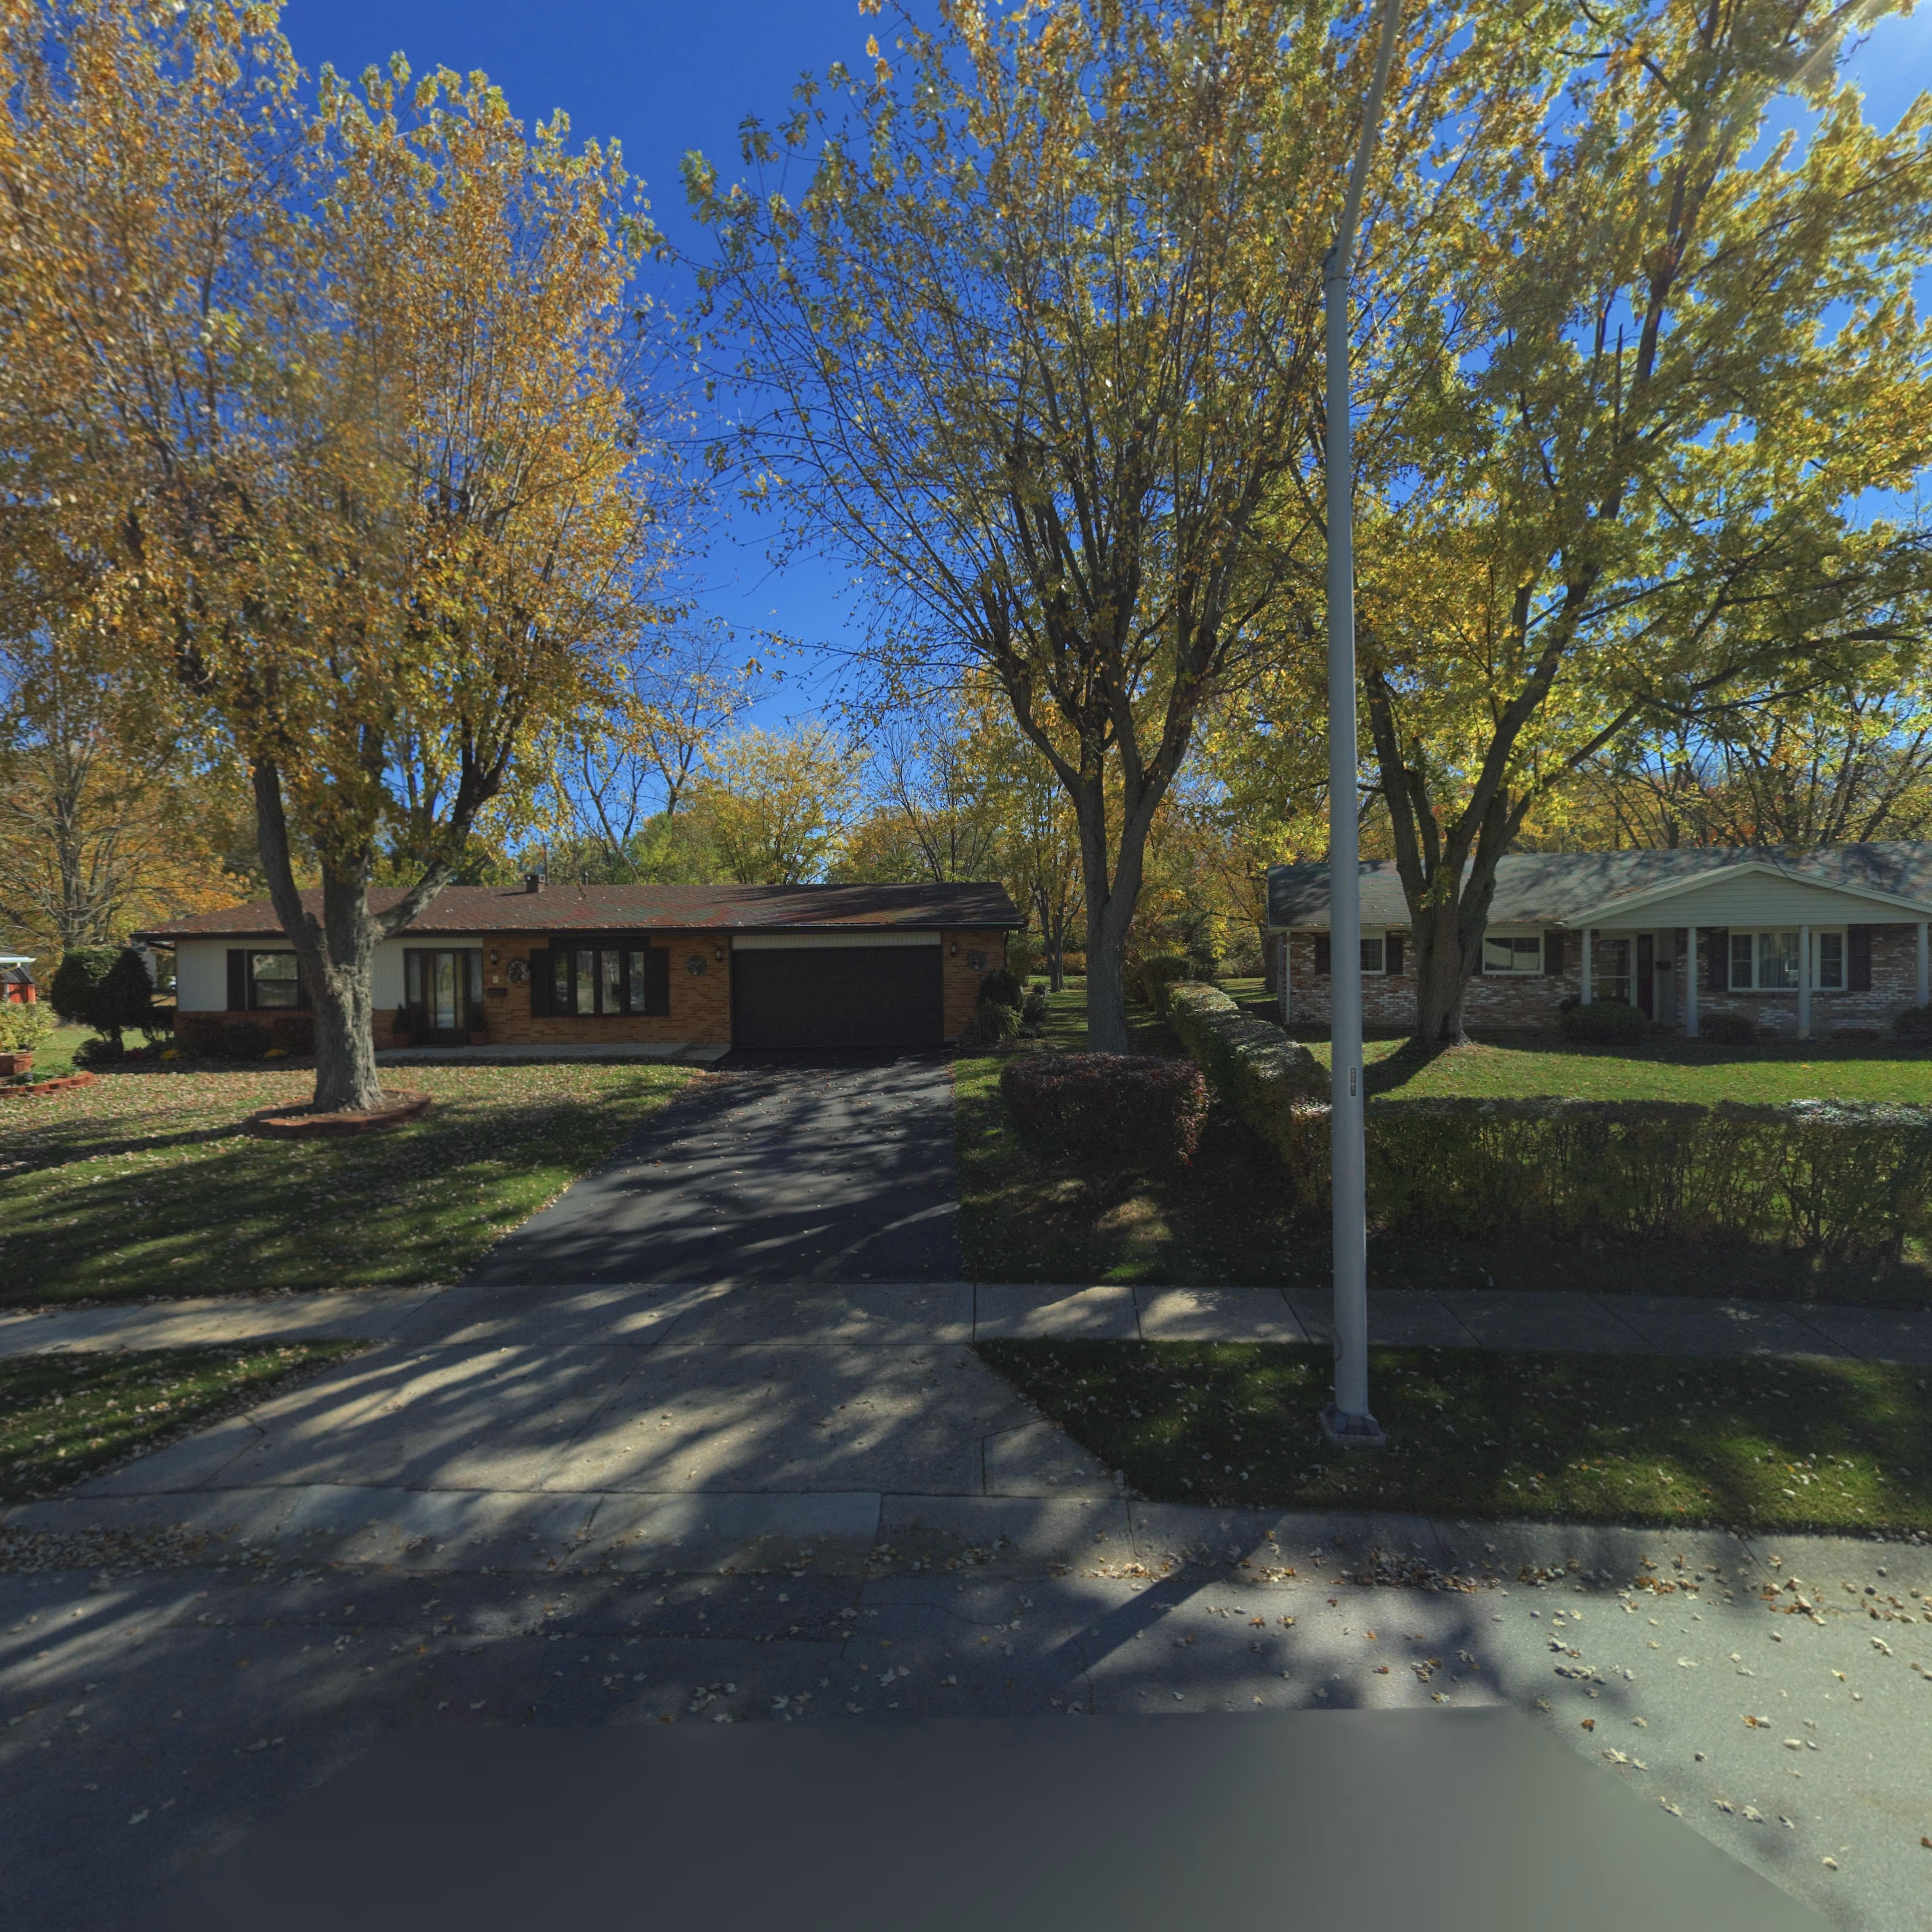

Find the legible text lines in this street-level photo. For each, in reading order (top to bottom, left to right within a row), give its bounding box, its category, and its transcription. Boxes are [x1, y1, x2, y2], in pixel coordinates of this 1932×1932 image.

[485, 967, 497, 974] StreetNumber: 2*2
[1679, 958, 1707, 976] StreetNumber: 2*4